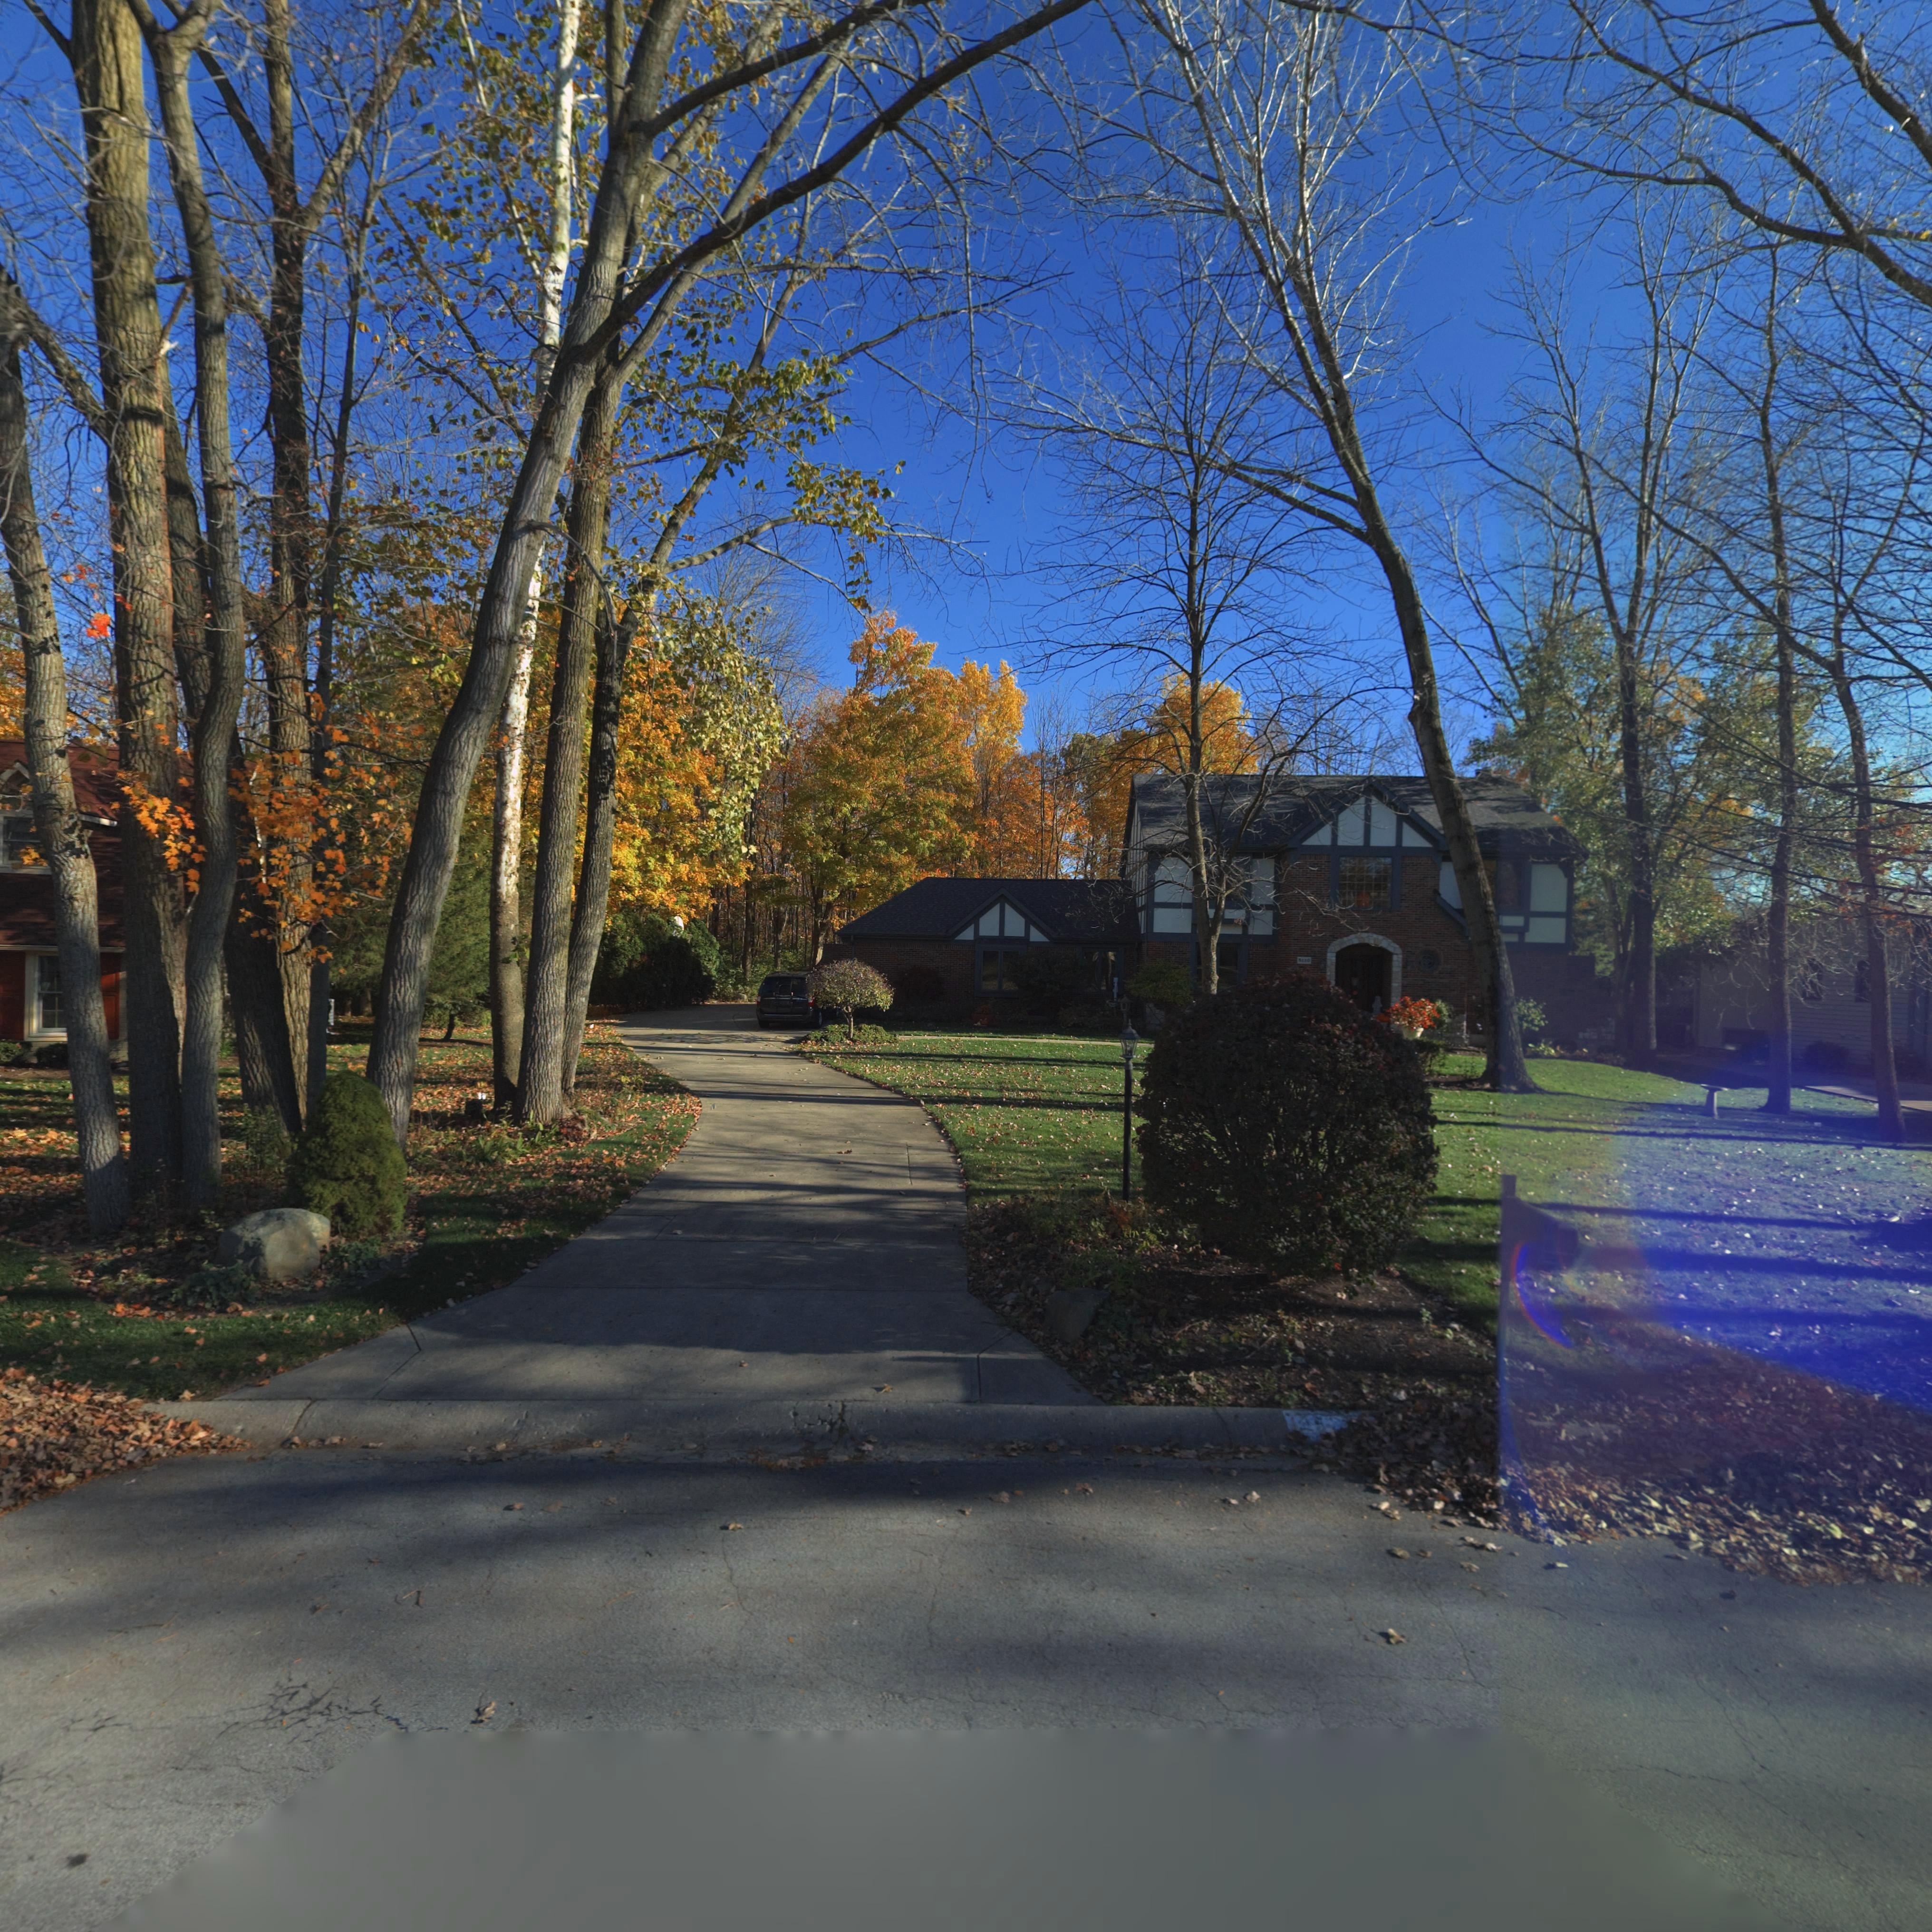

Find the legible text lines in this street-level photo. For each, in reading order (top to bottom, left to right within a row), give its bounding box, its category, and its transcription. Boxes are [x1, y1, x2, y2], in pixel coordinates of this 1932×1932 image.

[1298, 957, 1311, 963] StreetNumber: 5110
[1311, 1415, 1328, 1434] StreetNumber: 5